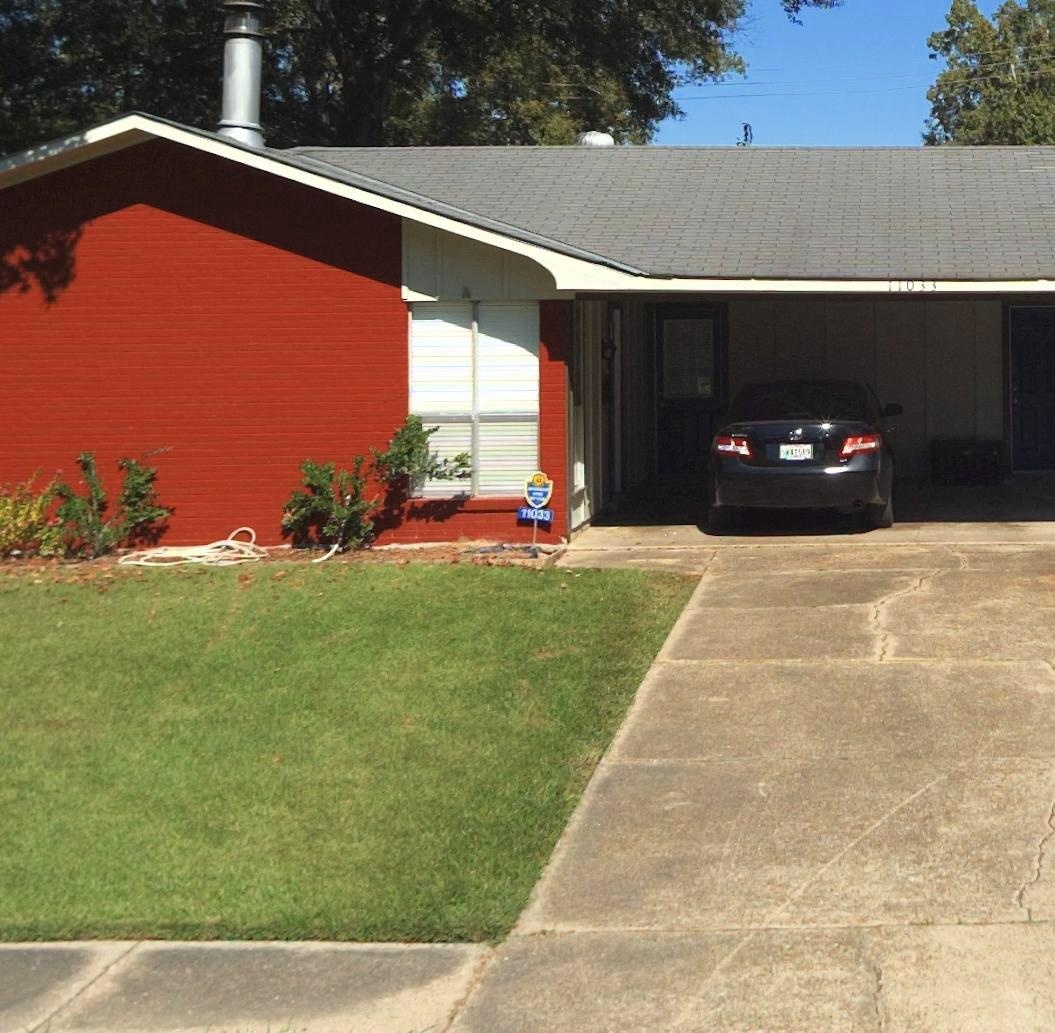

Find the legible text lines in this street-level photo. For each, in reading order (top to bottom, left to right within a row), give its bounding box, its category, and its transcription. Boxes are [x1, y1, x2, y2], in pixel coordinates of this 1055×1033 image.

[885, 277, 939, 294] StreetNumber: 11033
[519, 506, 552, 523] StreetNumber: 11033